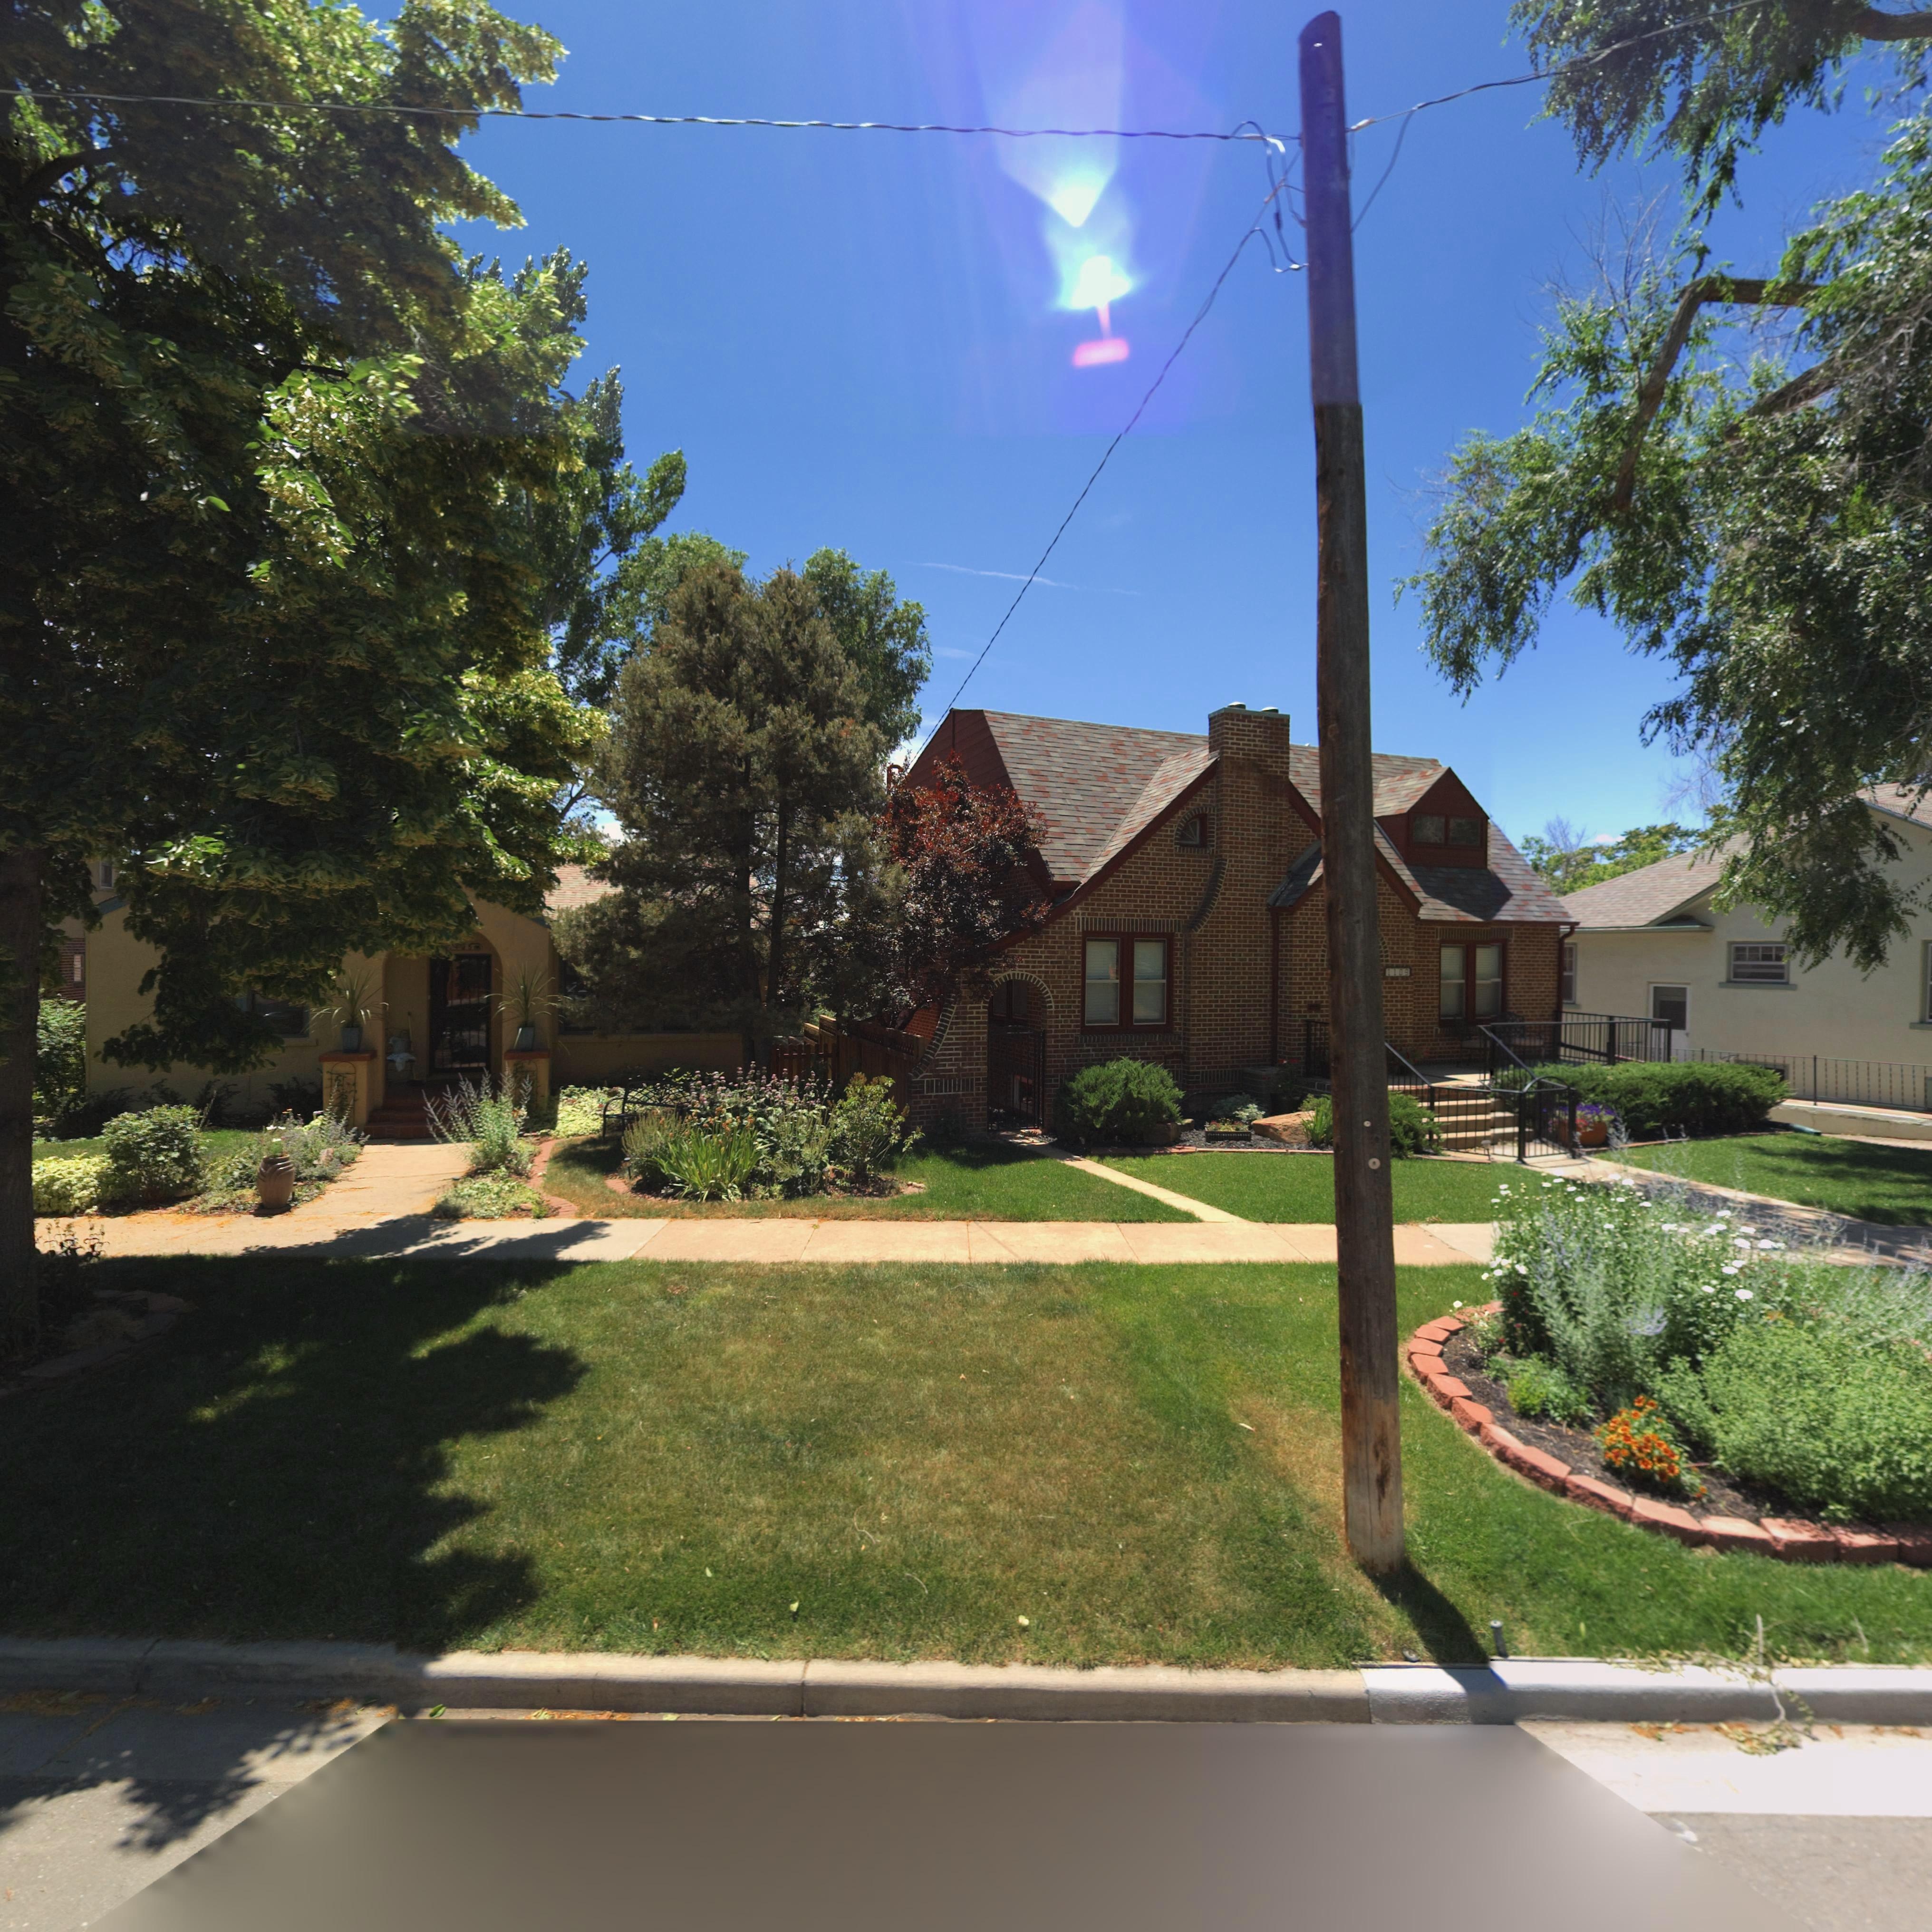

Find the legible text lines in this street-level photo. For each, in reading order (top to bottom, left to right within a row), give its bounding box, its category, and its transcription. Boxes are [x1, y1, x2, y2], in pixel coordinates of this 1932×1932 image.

[461, 944, 472, 950] StreetNumber: *5
[1387, 968, 1408, 976] StreetNumber: 1109